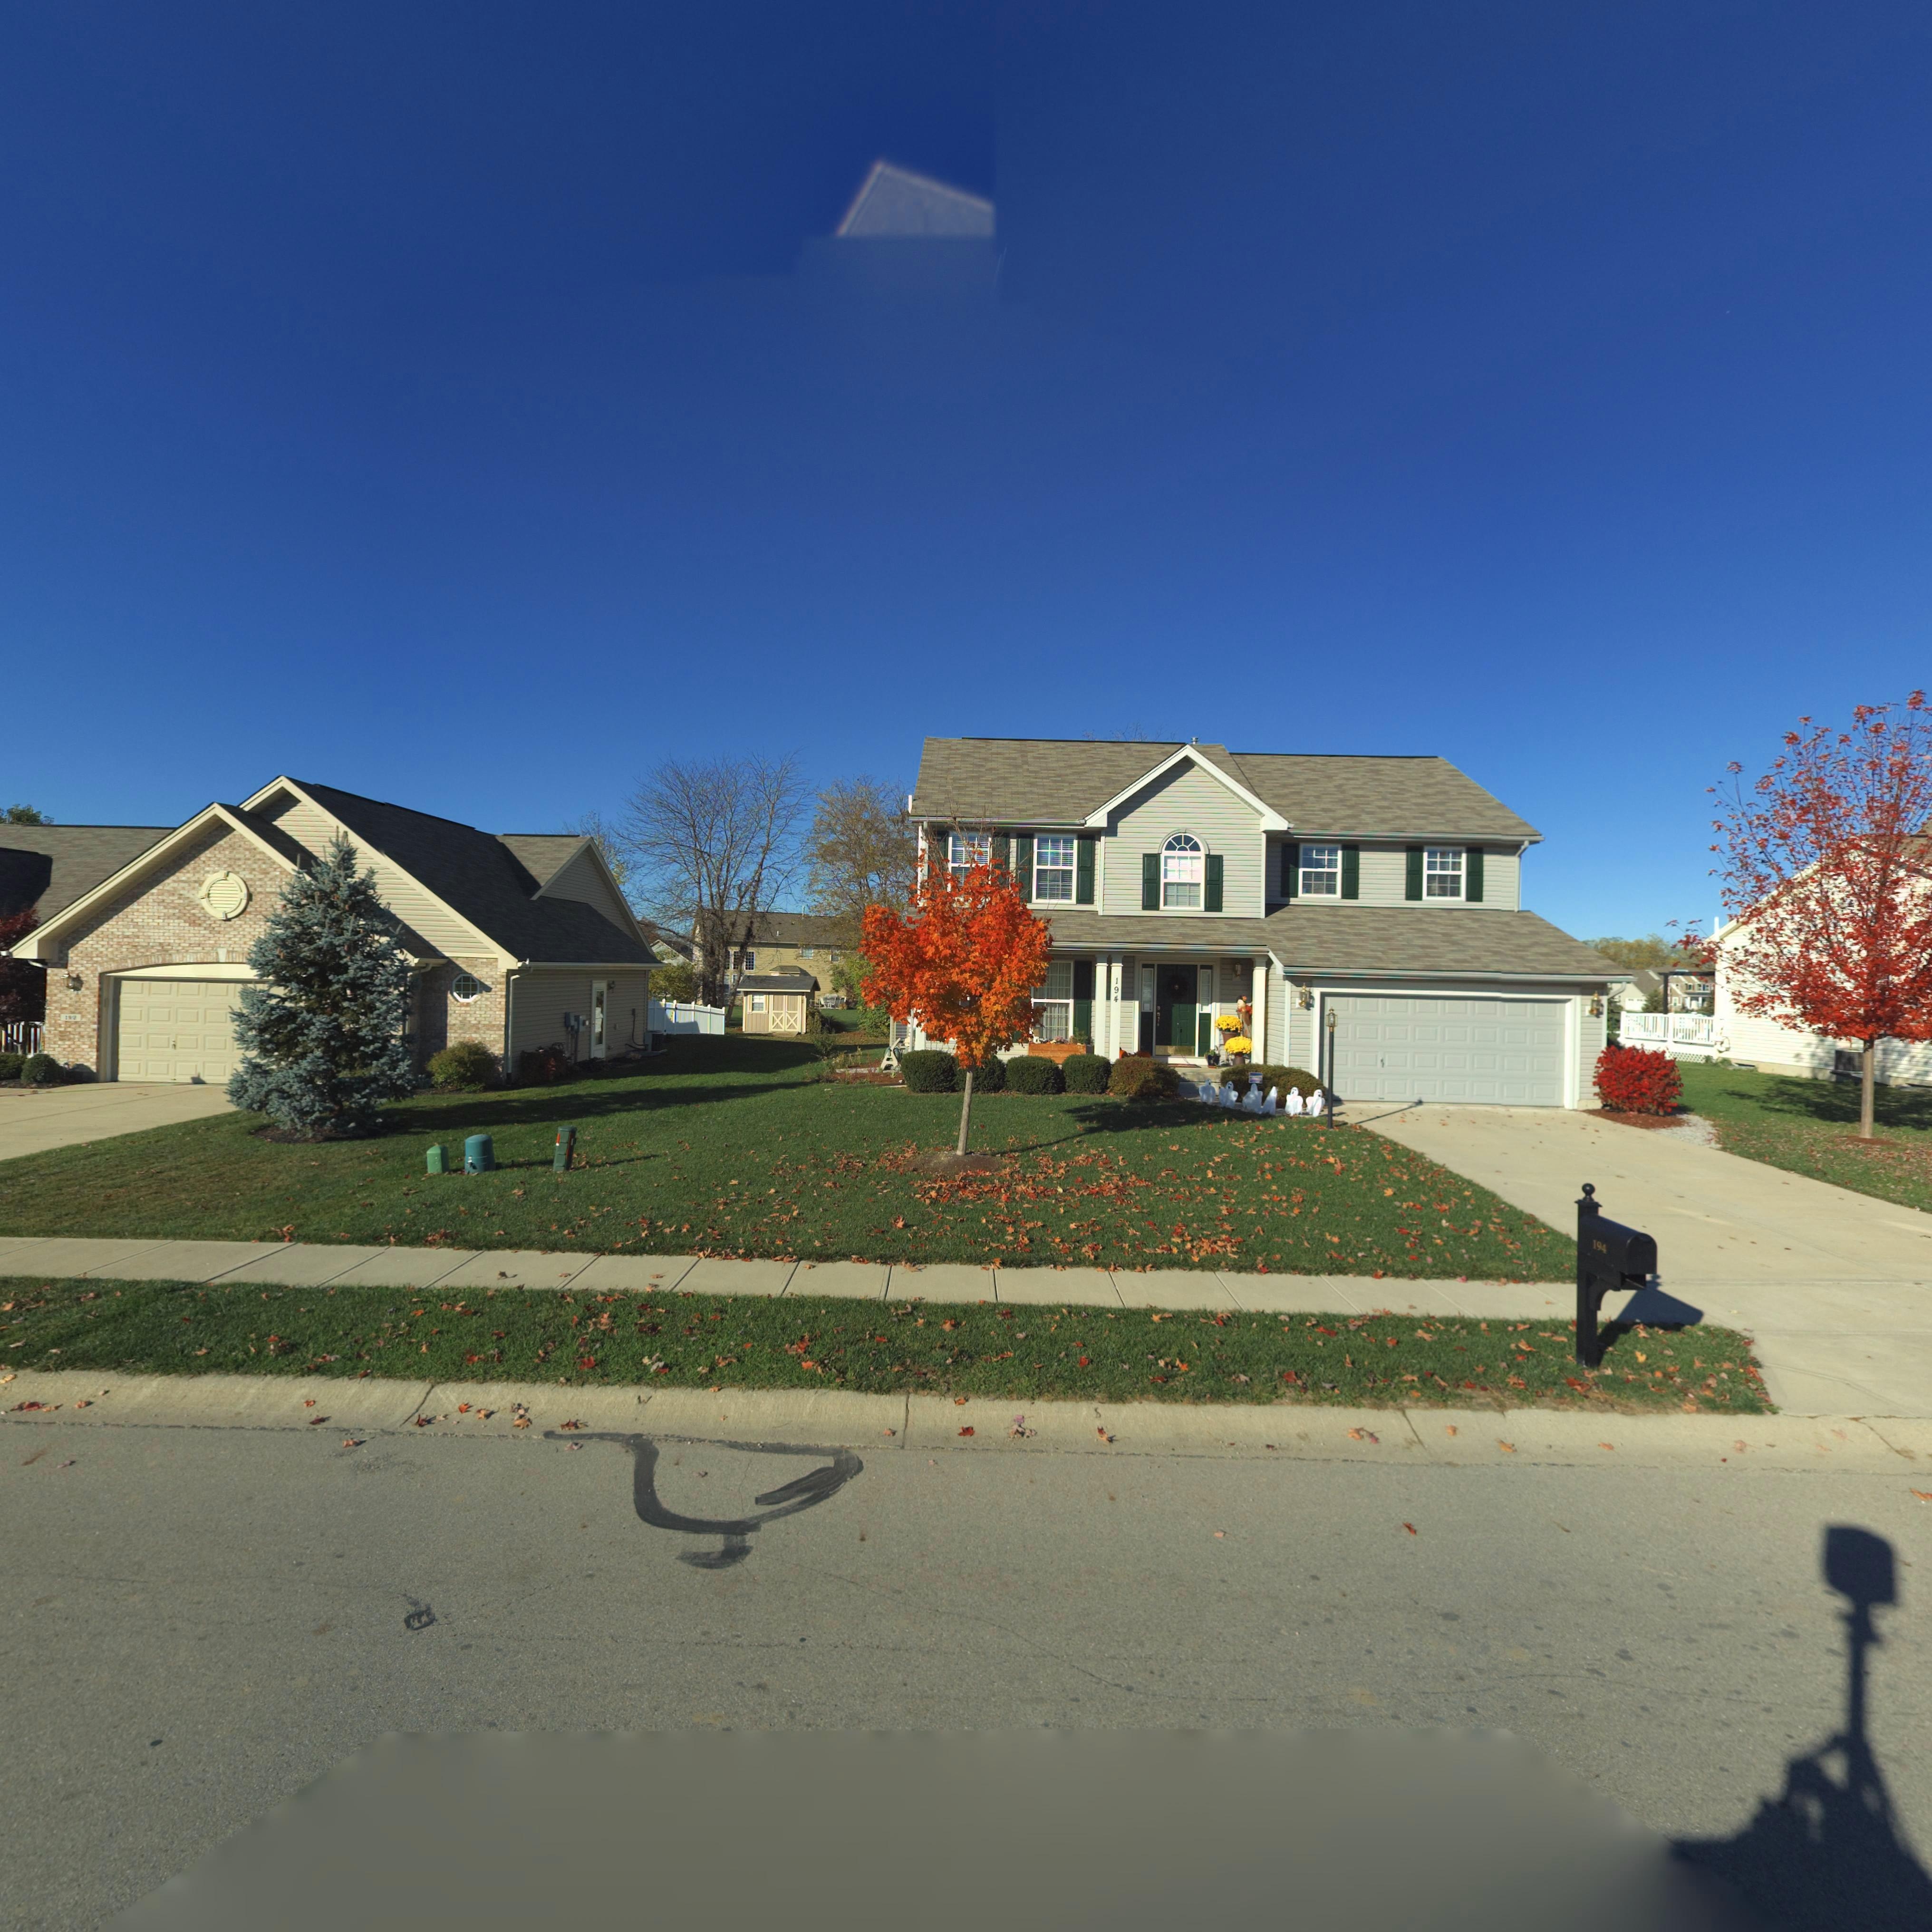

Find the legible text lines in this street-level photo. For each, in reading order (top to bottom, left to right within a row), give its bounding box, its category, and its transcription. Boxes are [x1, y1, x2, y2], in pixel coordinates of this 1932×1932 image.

[1112, 976, 1119, 1003] StreetNumber: 194
[64, 1014, 77, 1021] StreetNumber: 192